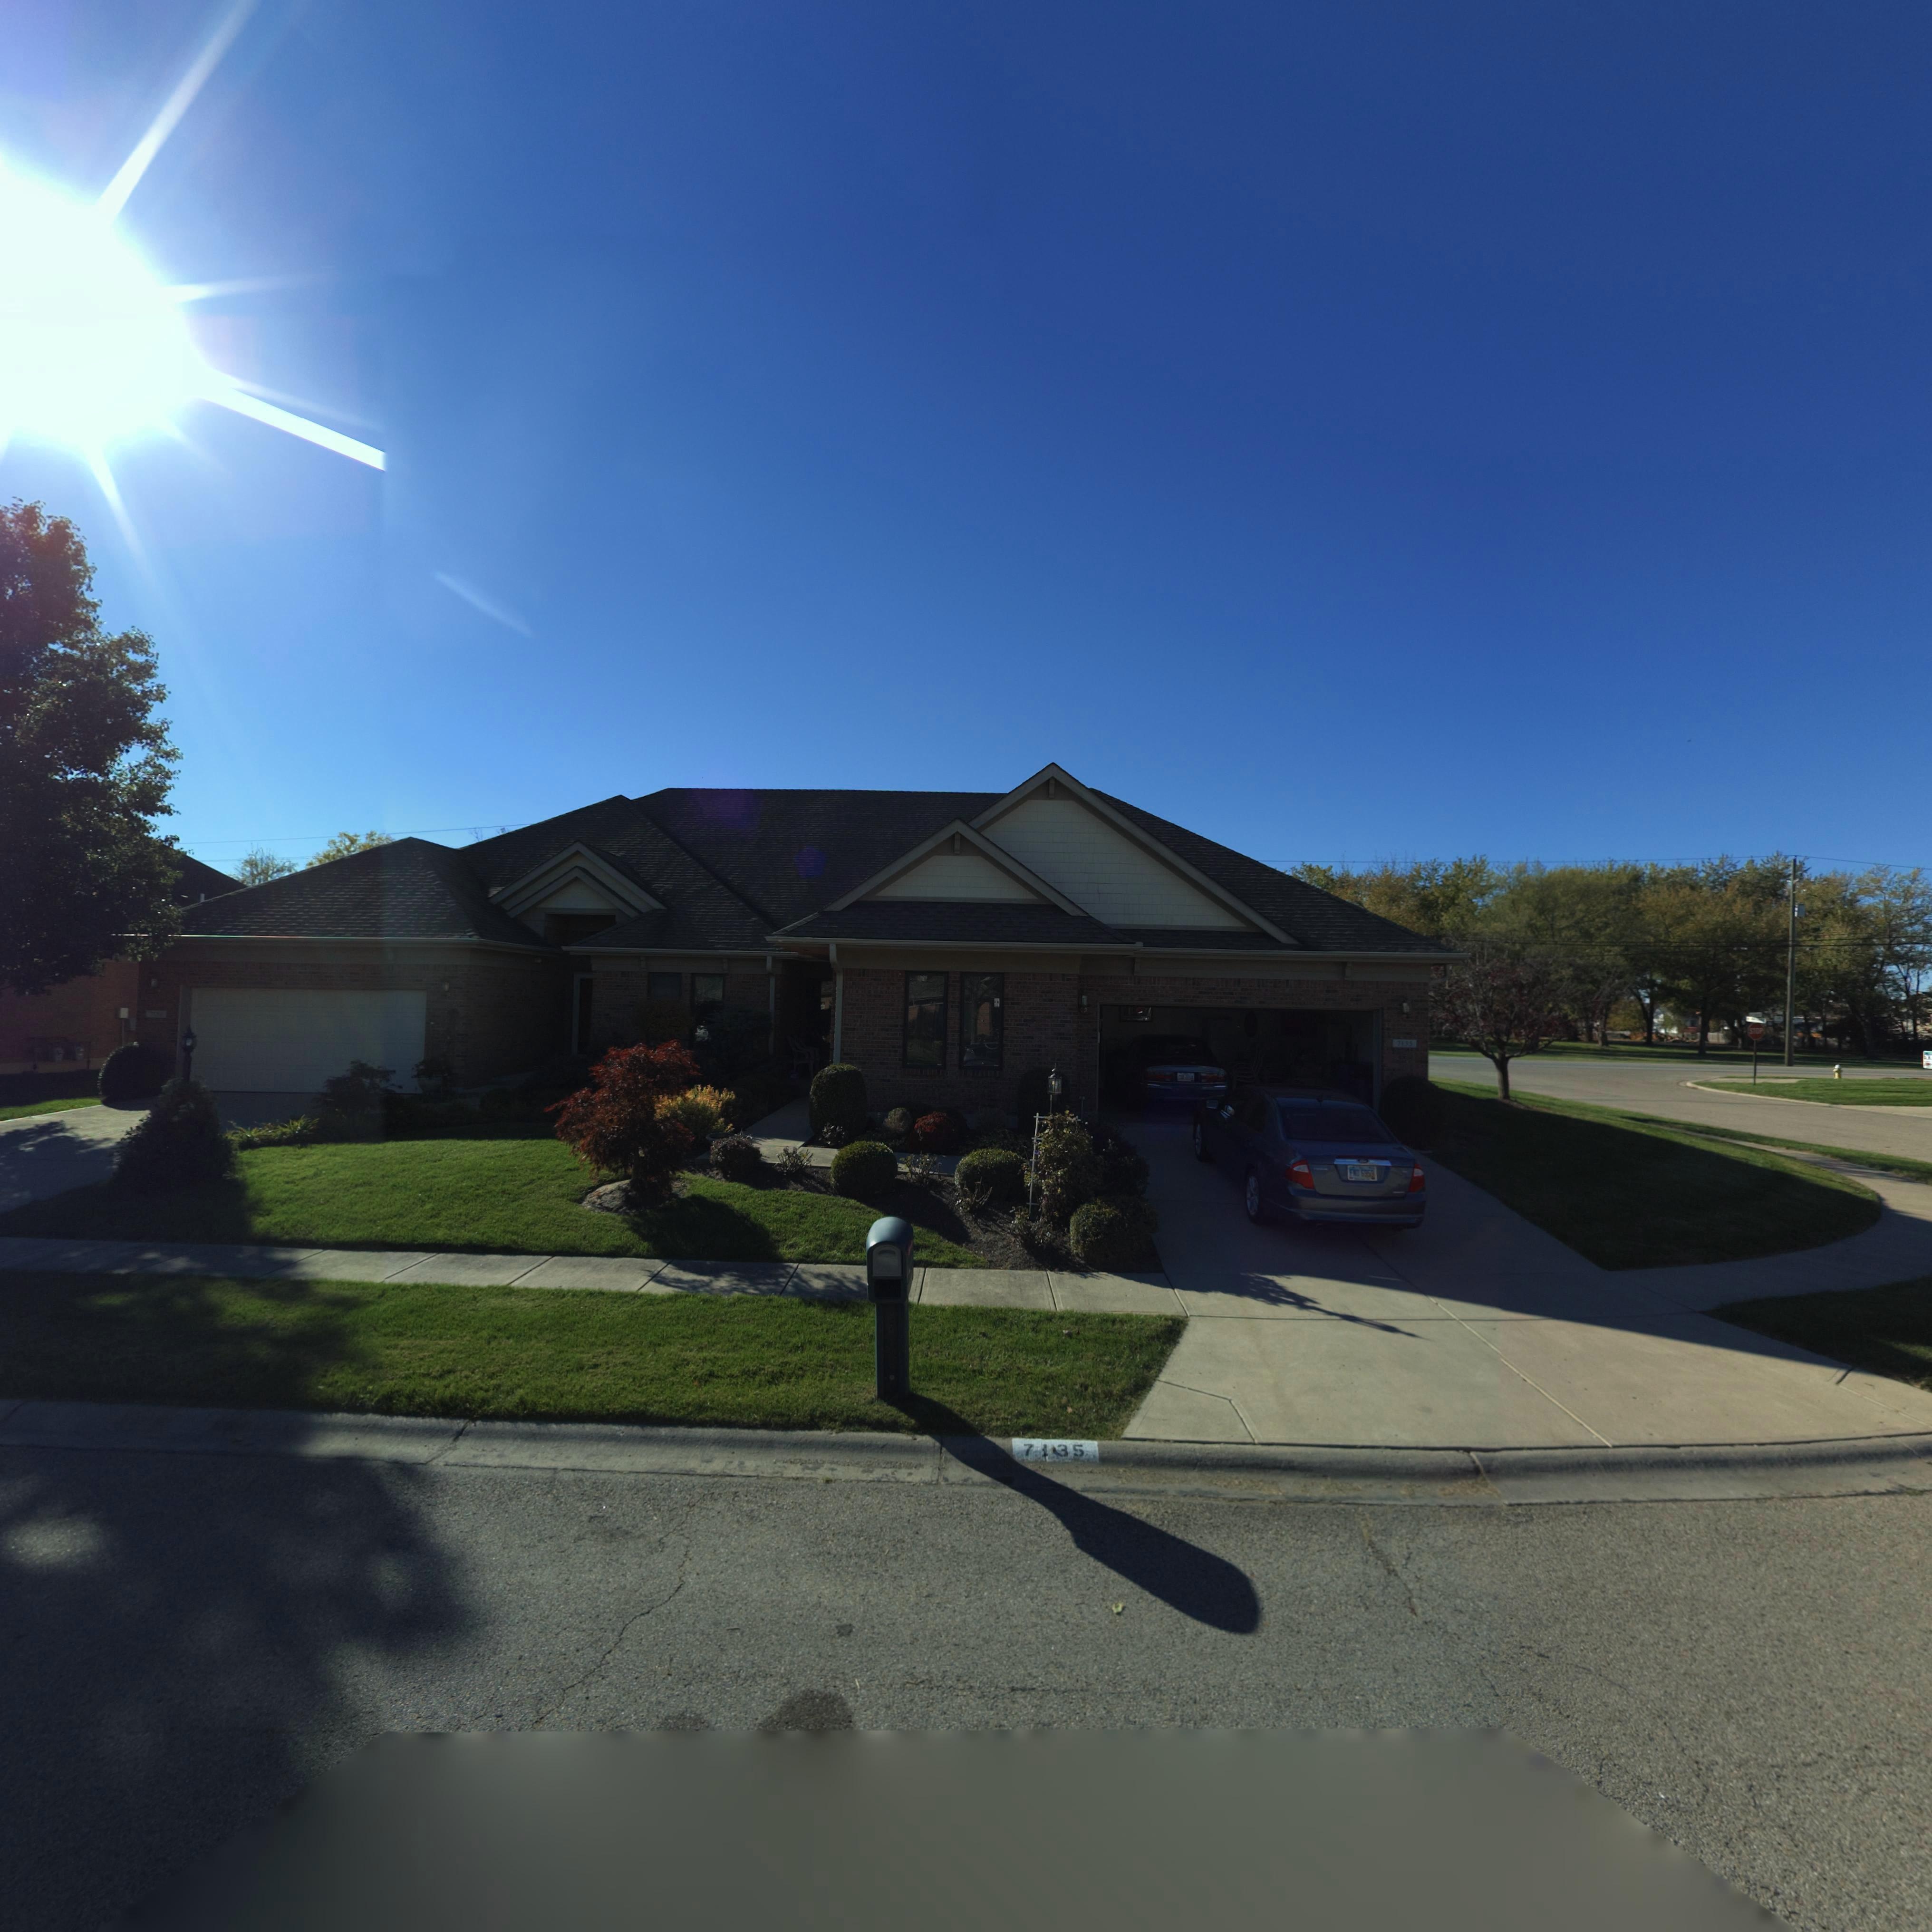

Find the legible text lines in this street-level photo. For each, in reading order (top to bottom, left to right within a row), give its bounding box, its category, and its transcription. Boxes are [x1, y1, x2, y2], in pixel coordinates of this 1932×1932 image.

[149, 1011, 163, 1017] StreetNumber: 71*1
[1396, 1040, 1413, 1047] StreetNumber: 7135
[1023, 1443, 1085, 1459] StreetNumber: 7135